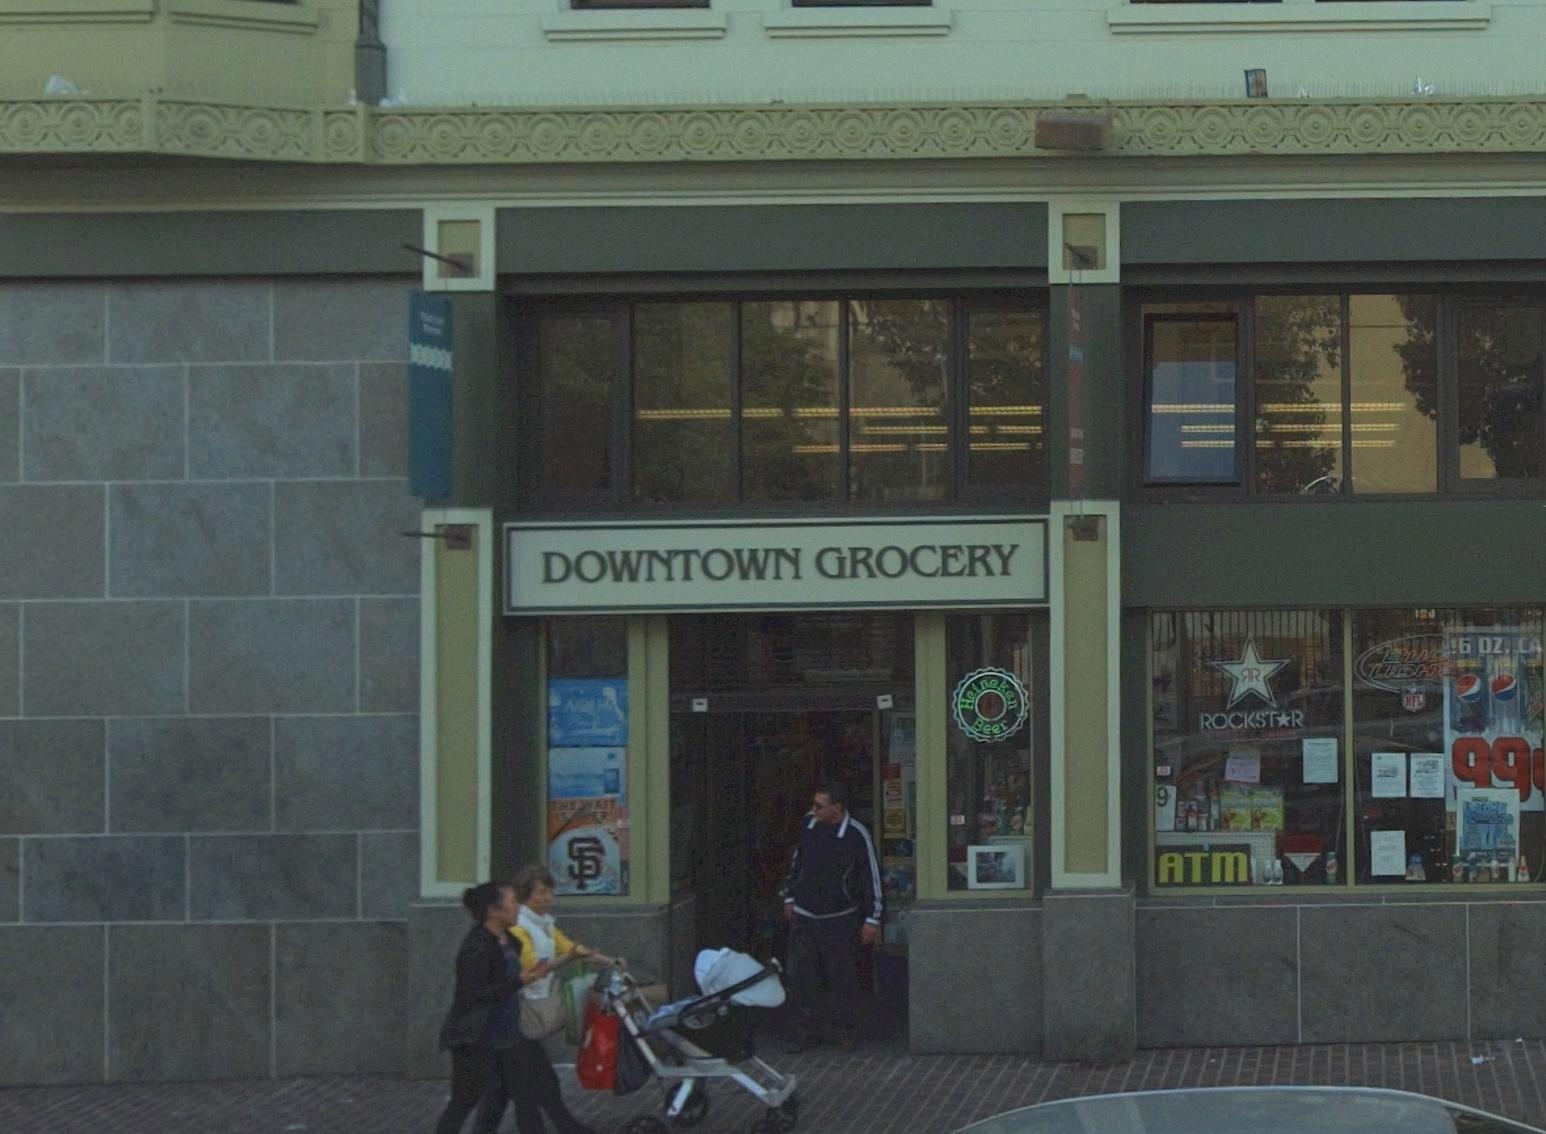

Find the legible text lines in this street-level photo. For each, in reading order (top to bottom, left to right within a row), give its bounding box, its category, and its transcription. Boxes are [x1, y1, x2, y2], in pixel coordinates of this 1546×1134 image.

[537, 539, 1027, 589] BusinessName: D0WNTOWN GROCERY
[1402, 647, 1429, 666] None: U
[1456, 634, 1513, 657] None: 6 OZ.
[1515, 634, 1544, 657] None: CA
[1365, 660, 1442, 682] None: LIGH
[958, 676, 1021, 714] None: Heineken
[968, 715, 1012, 737] None: Beer
[1197, 708, 1308, 733] None: ROCKST*R
[547, 797, 619, 814] None: THE*WAIT
[1155, 783, 1171, 810] None: 9
[552, 810, 572, 826] None: IS
[1156, 850, 1251, 886] None: ATM